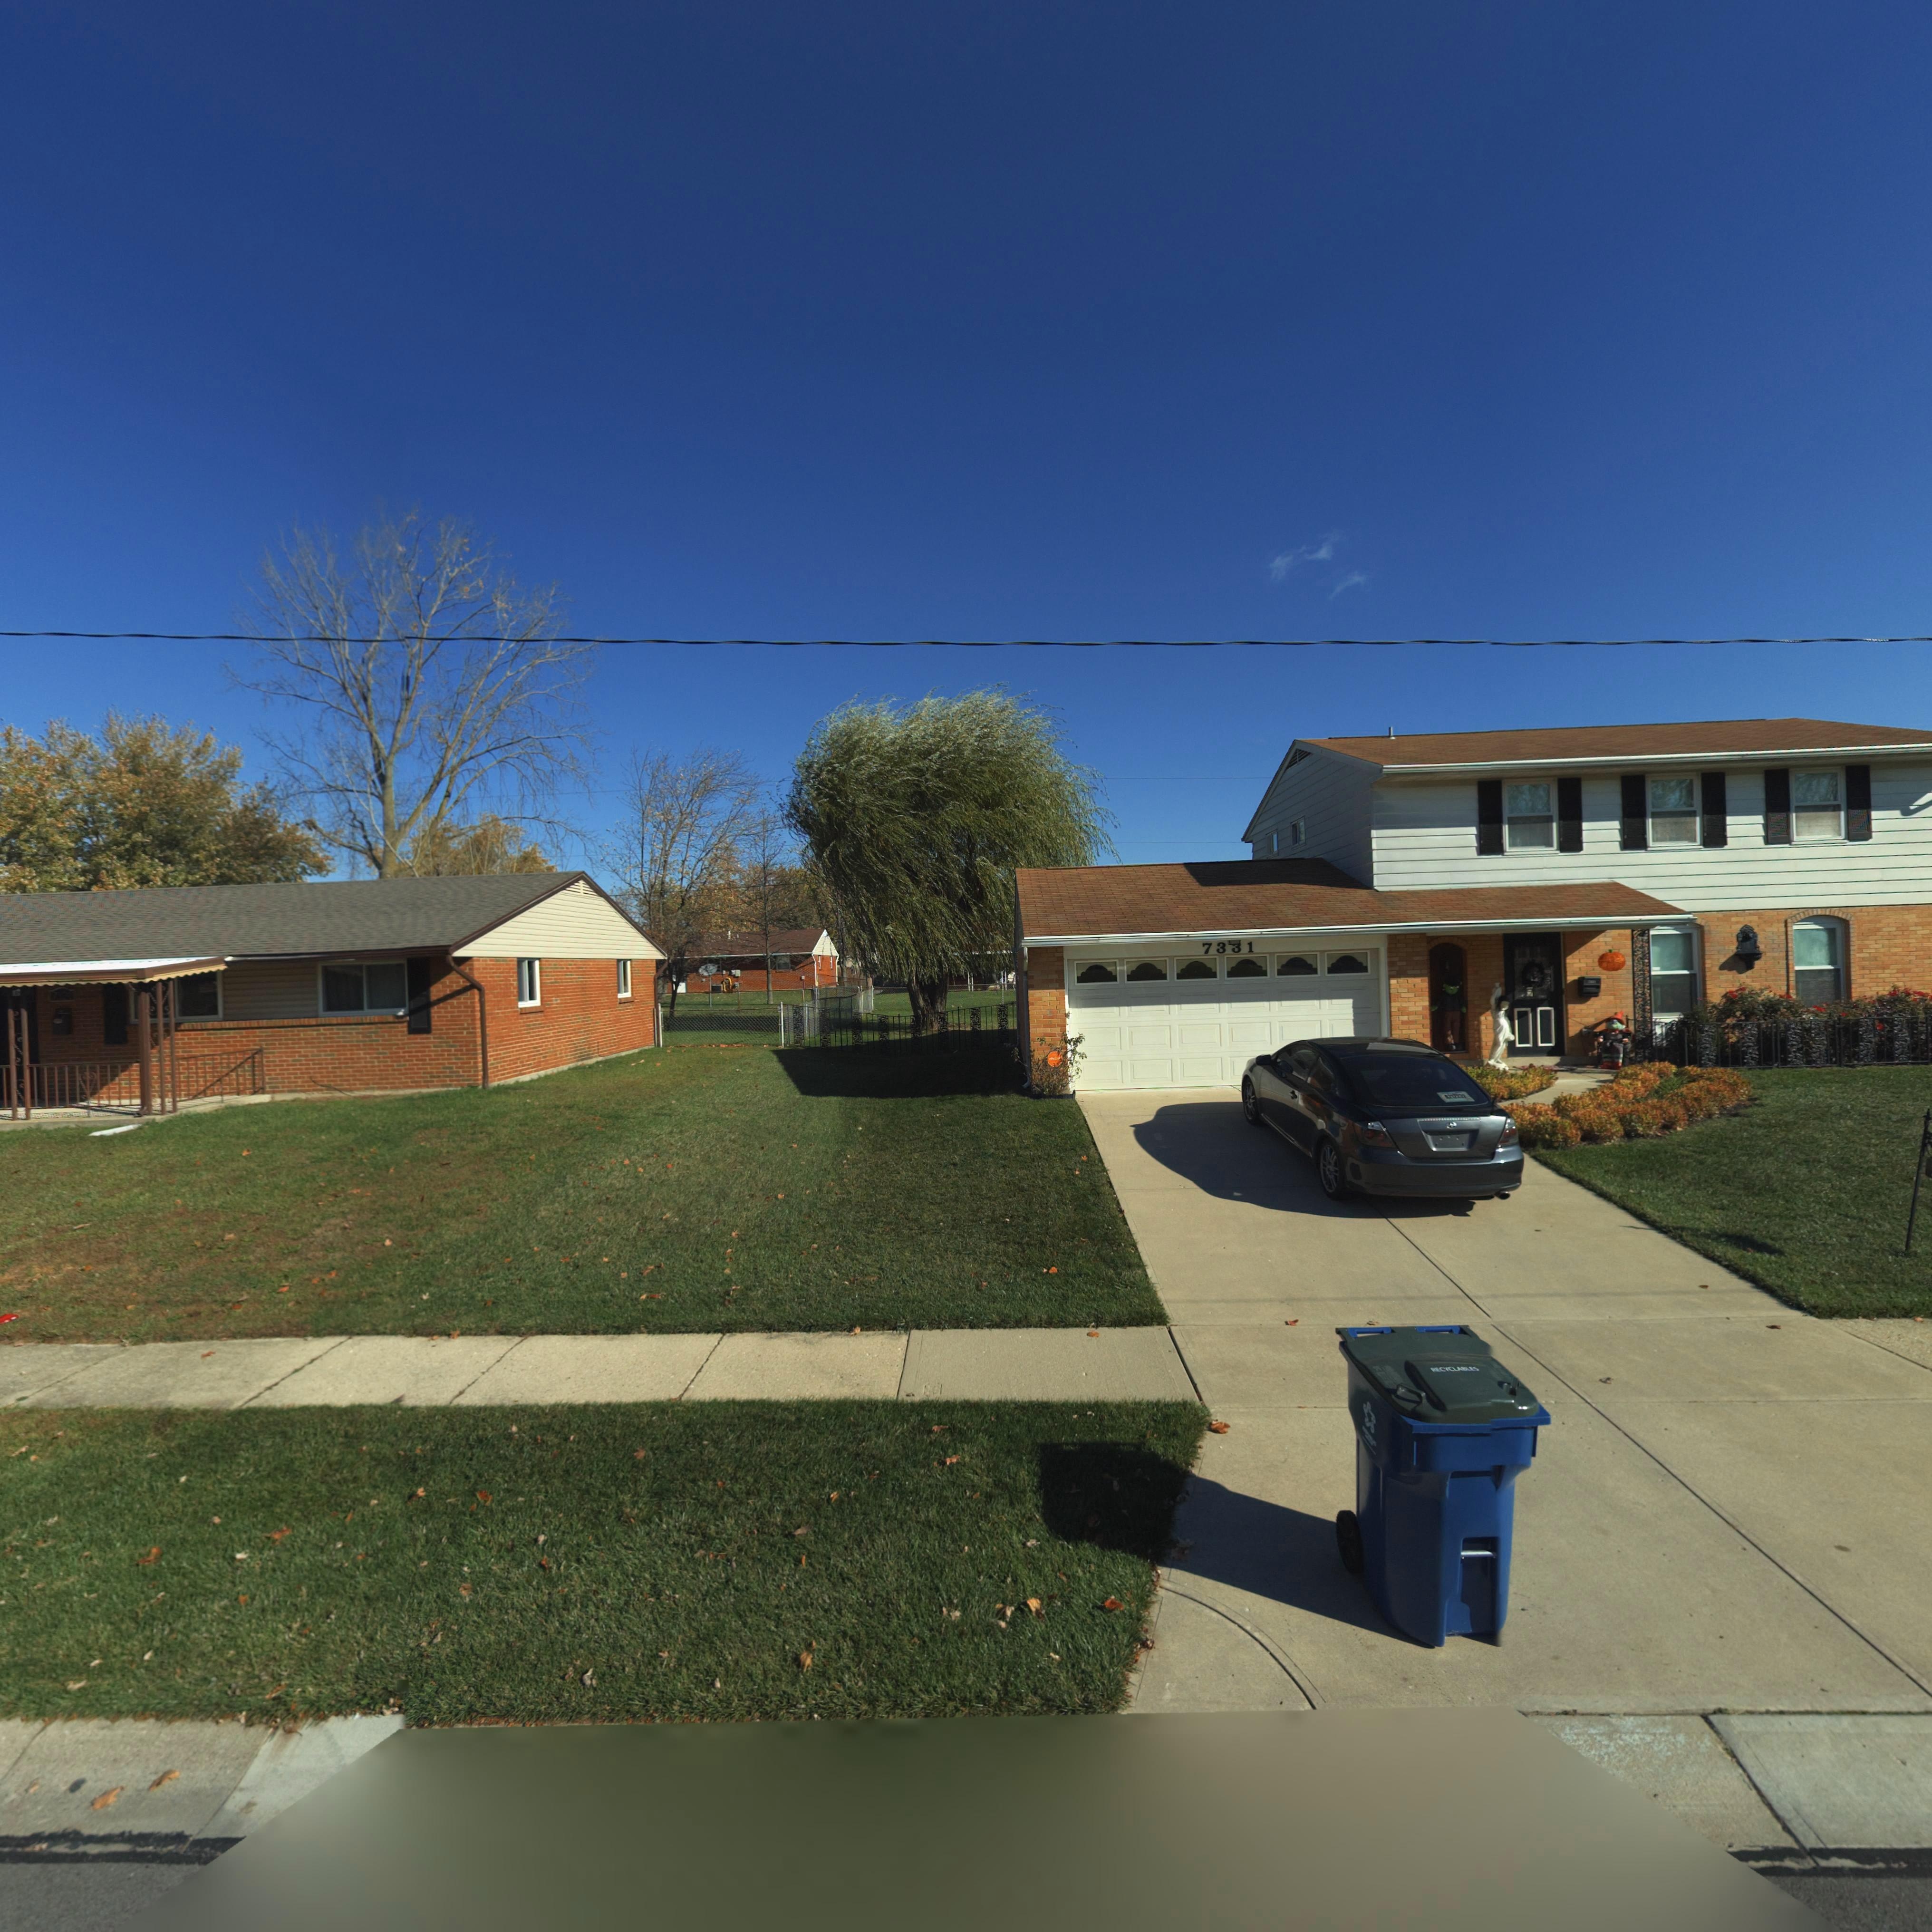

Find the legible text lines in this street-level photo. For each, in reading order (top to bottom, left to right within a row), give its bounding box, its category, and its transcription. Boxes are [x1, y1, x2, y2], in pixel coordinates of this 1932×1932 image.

[1201, 940, 1255, 955] StreetNumber: 73*1